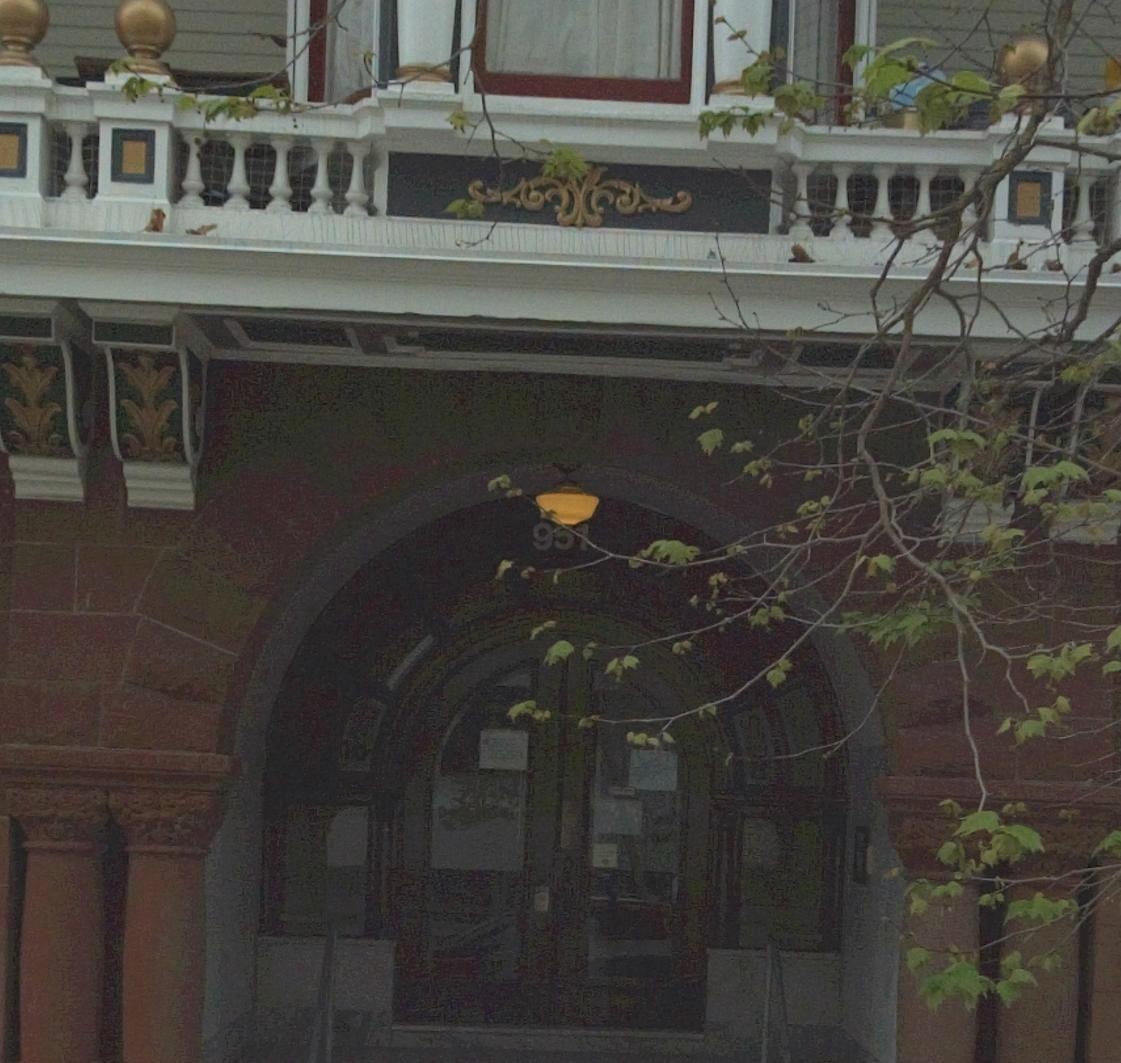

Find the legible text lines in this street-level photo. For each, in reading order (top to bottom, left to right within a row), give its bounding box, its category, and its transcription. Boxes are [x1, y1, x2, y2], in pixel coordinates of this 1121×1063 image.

[530, 521, 590, 553] StreetNumber: 951